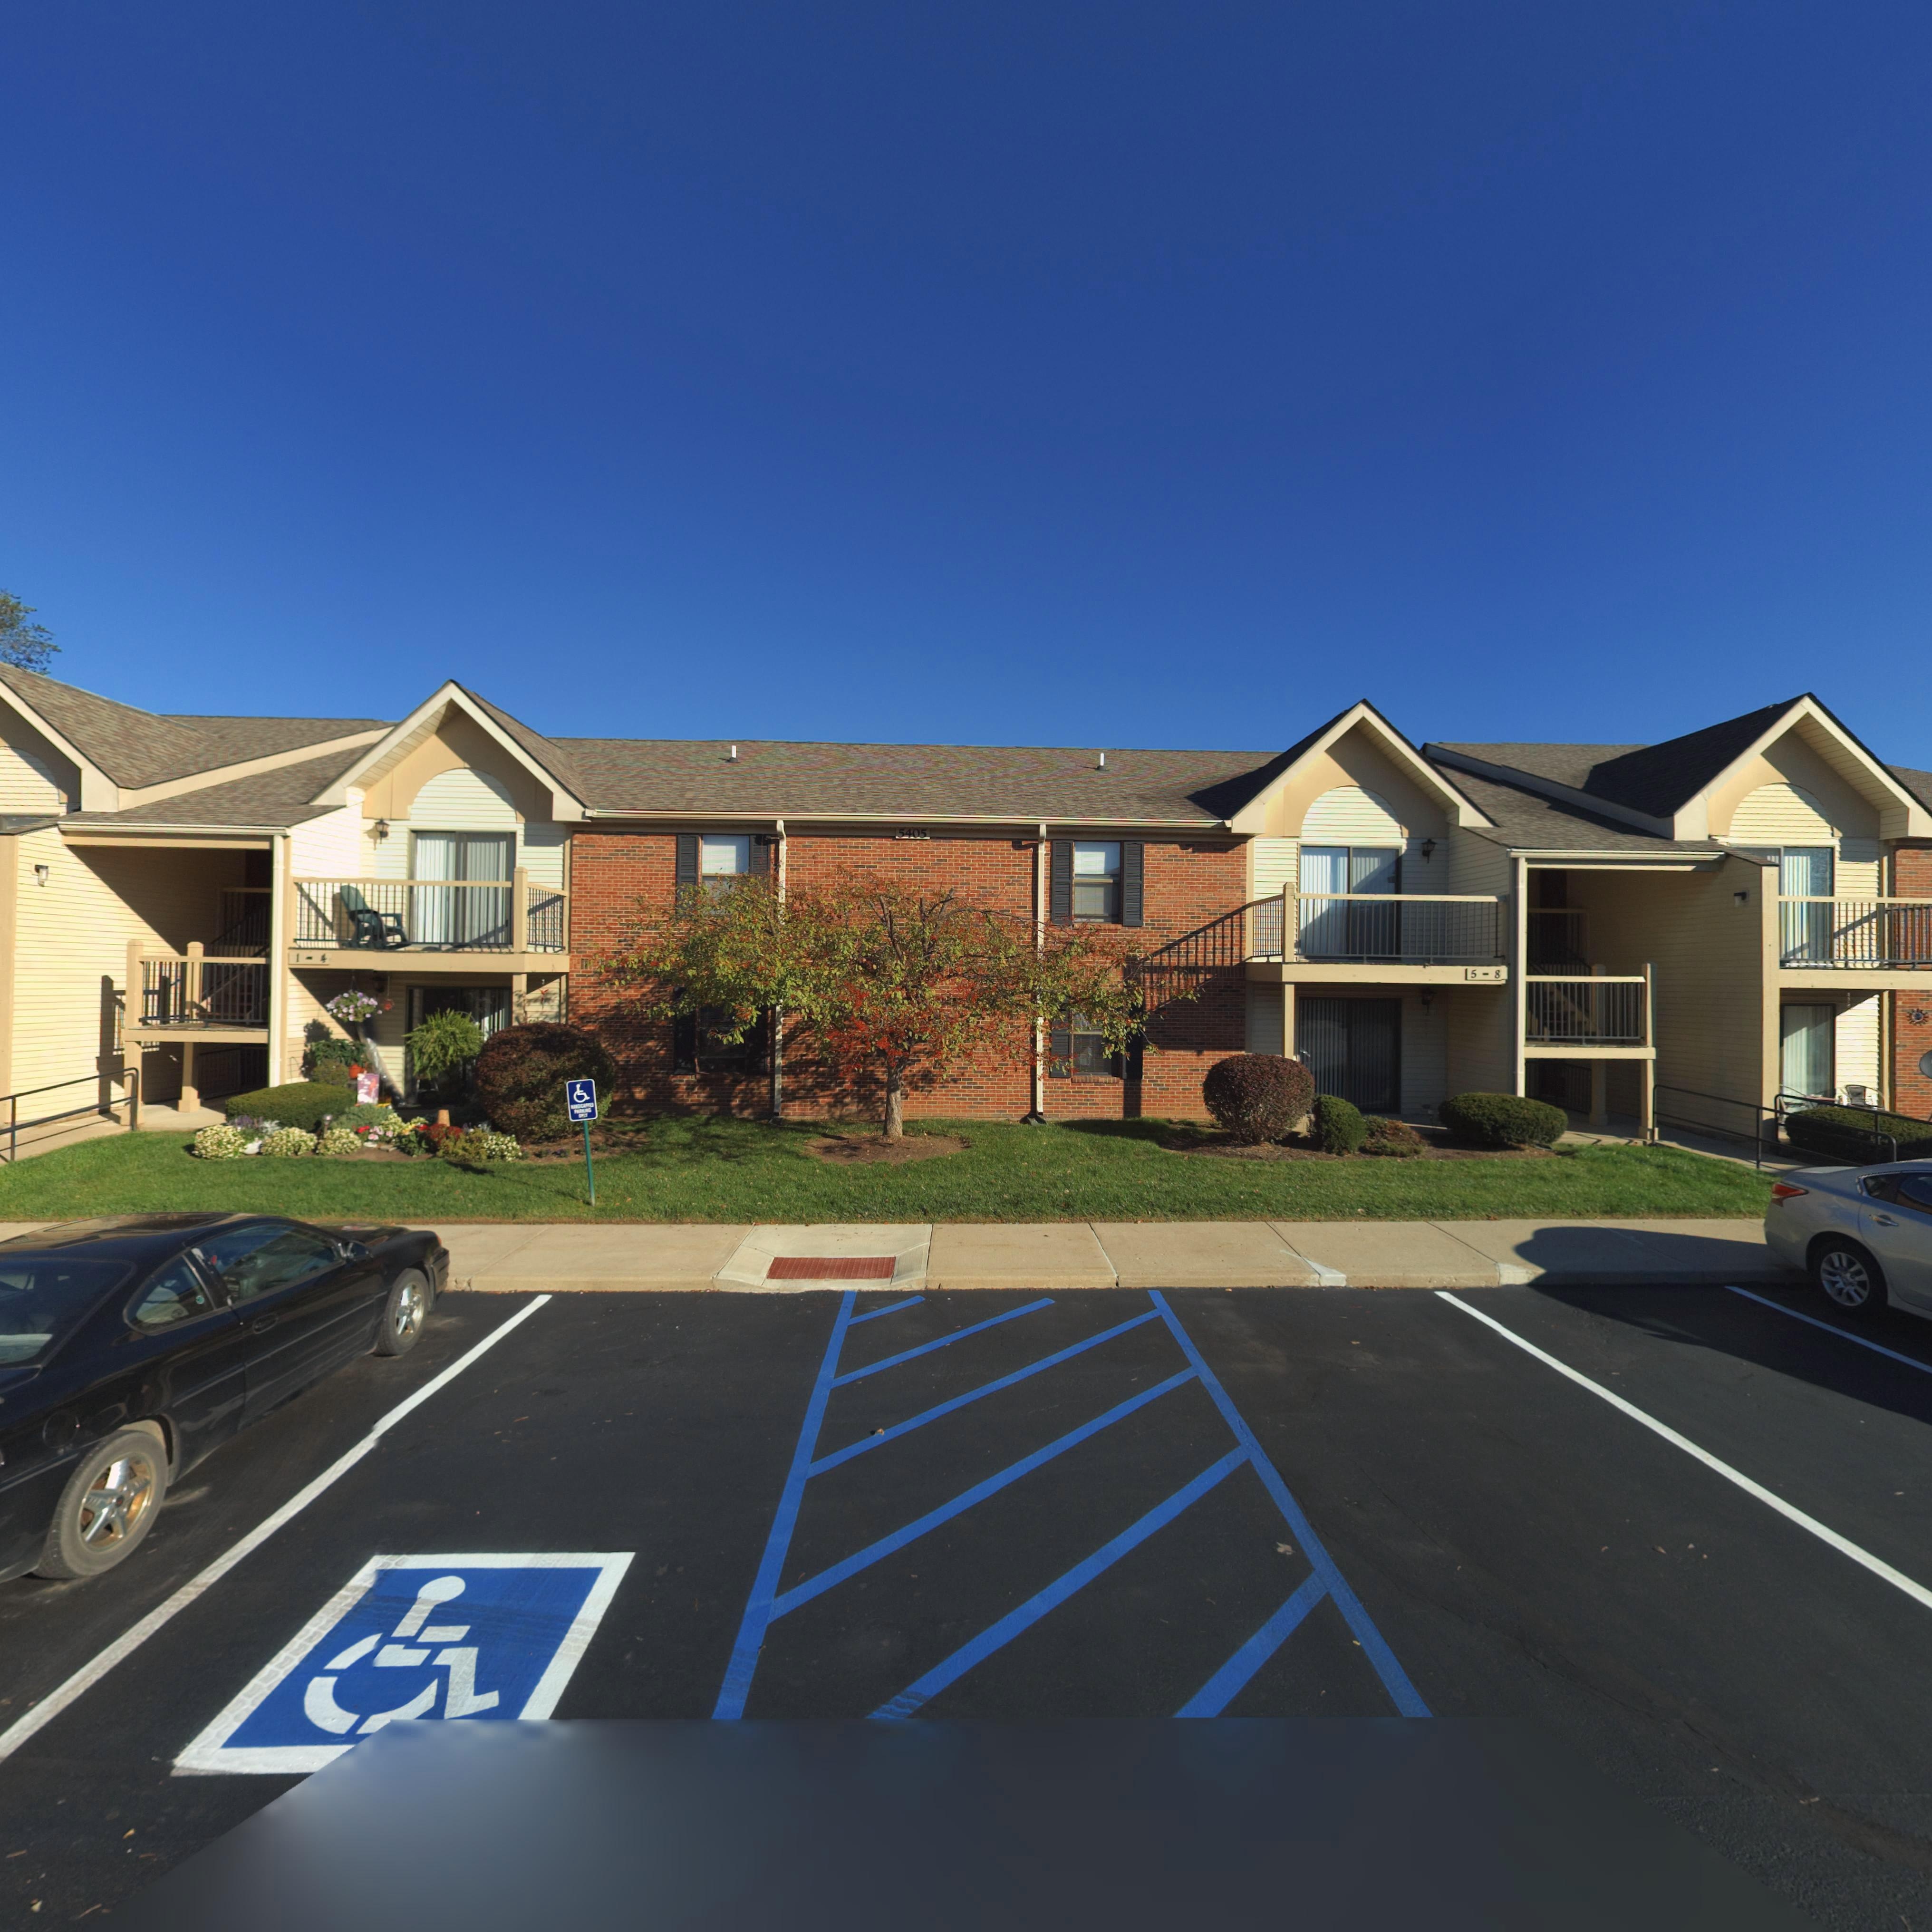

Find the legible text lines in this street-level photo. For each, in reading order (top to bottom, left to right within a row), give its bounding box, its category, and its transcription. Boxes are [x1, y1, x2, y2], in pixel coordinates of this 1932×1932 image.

[294, 952, 327, 963] StreetNumber: 1-4
[1470, 968, 1500, 979] StreetNumber: 5-8